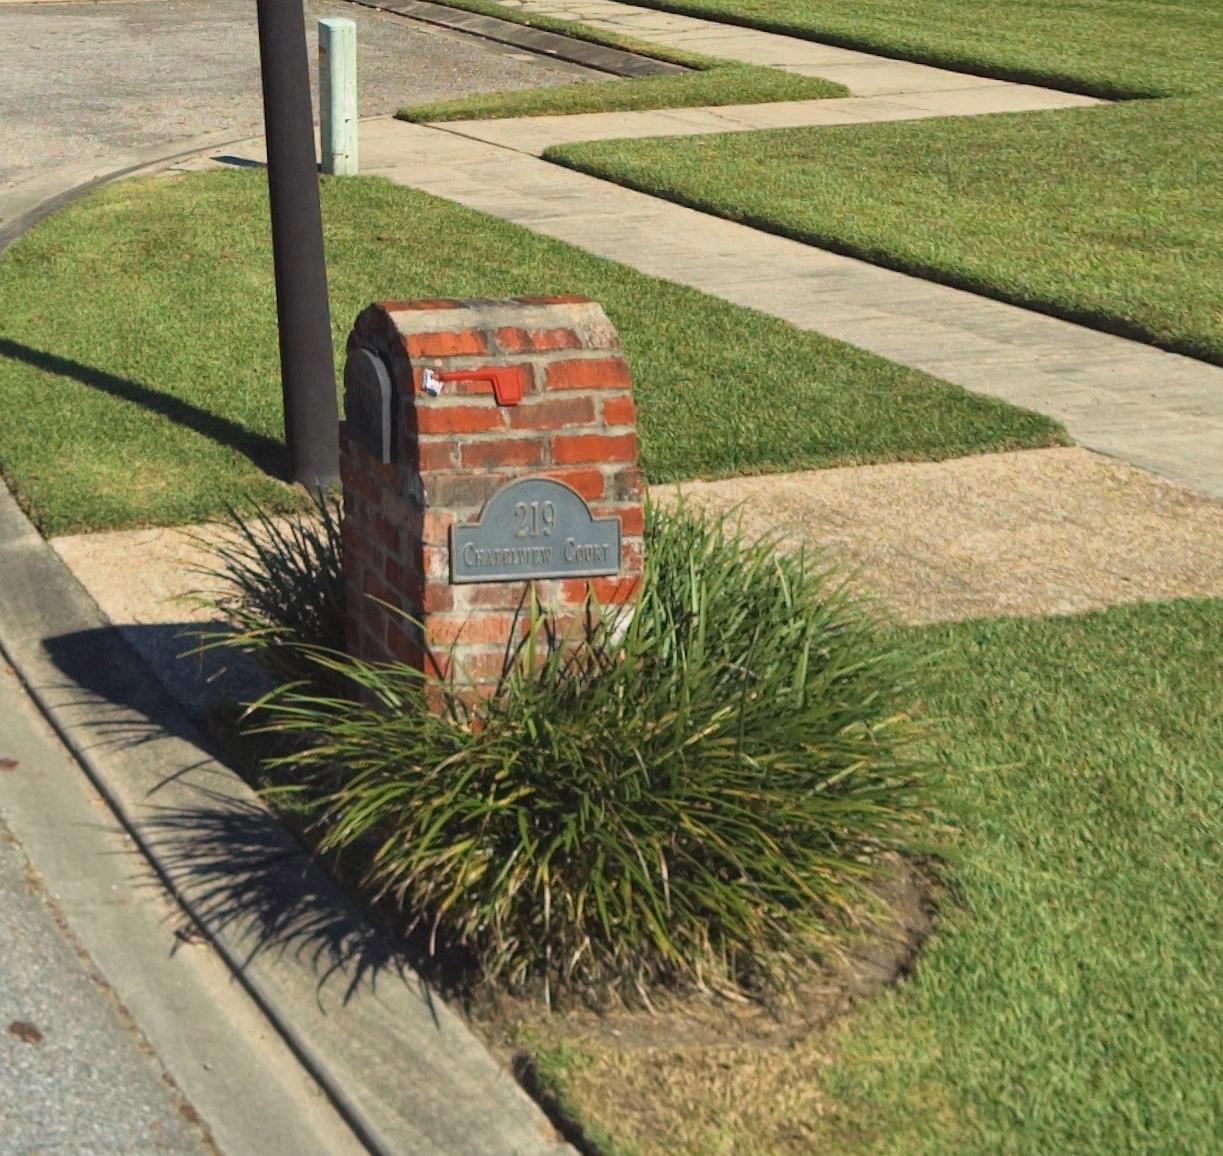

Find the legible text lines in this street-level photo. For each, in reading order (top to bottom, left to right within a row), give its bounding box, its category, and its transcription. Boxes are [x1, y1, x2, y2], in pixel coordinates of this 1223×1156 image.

[510, 497, 558, 541] StreetNumber: 219
[460, 533, 612, 570] StreetName: CHAPELVIEW COURT